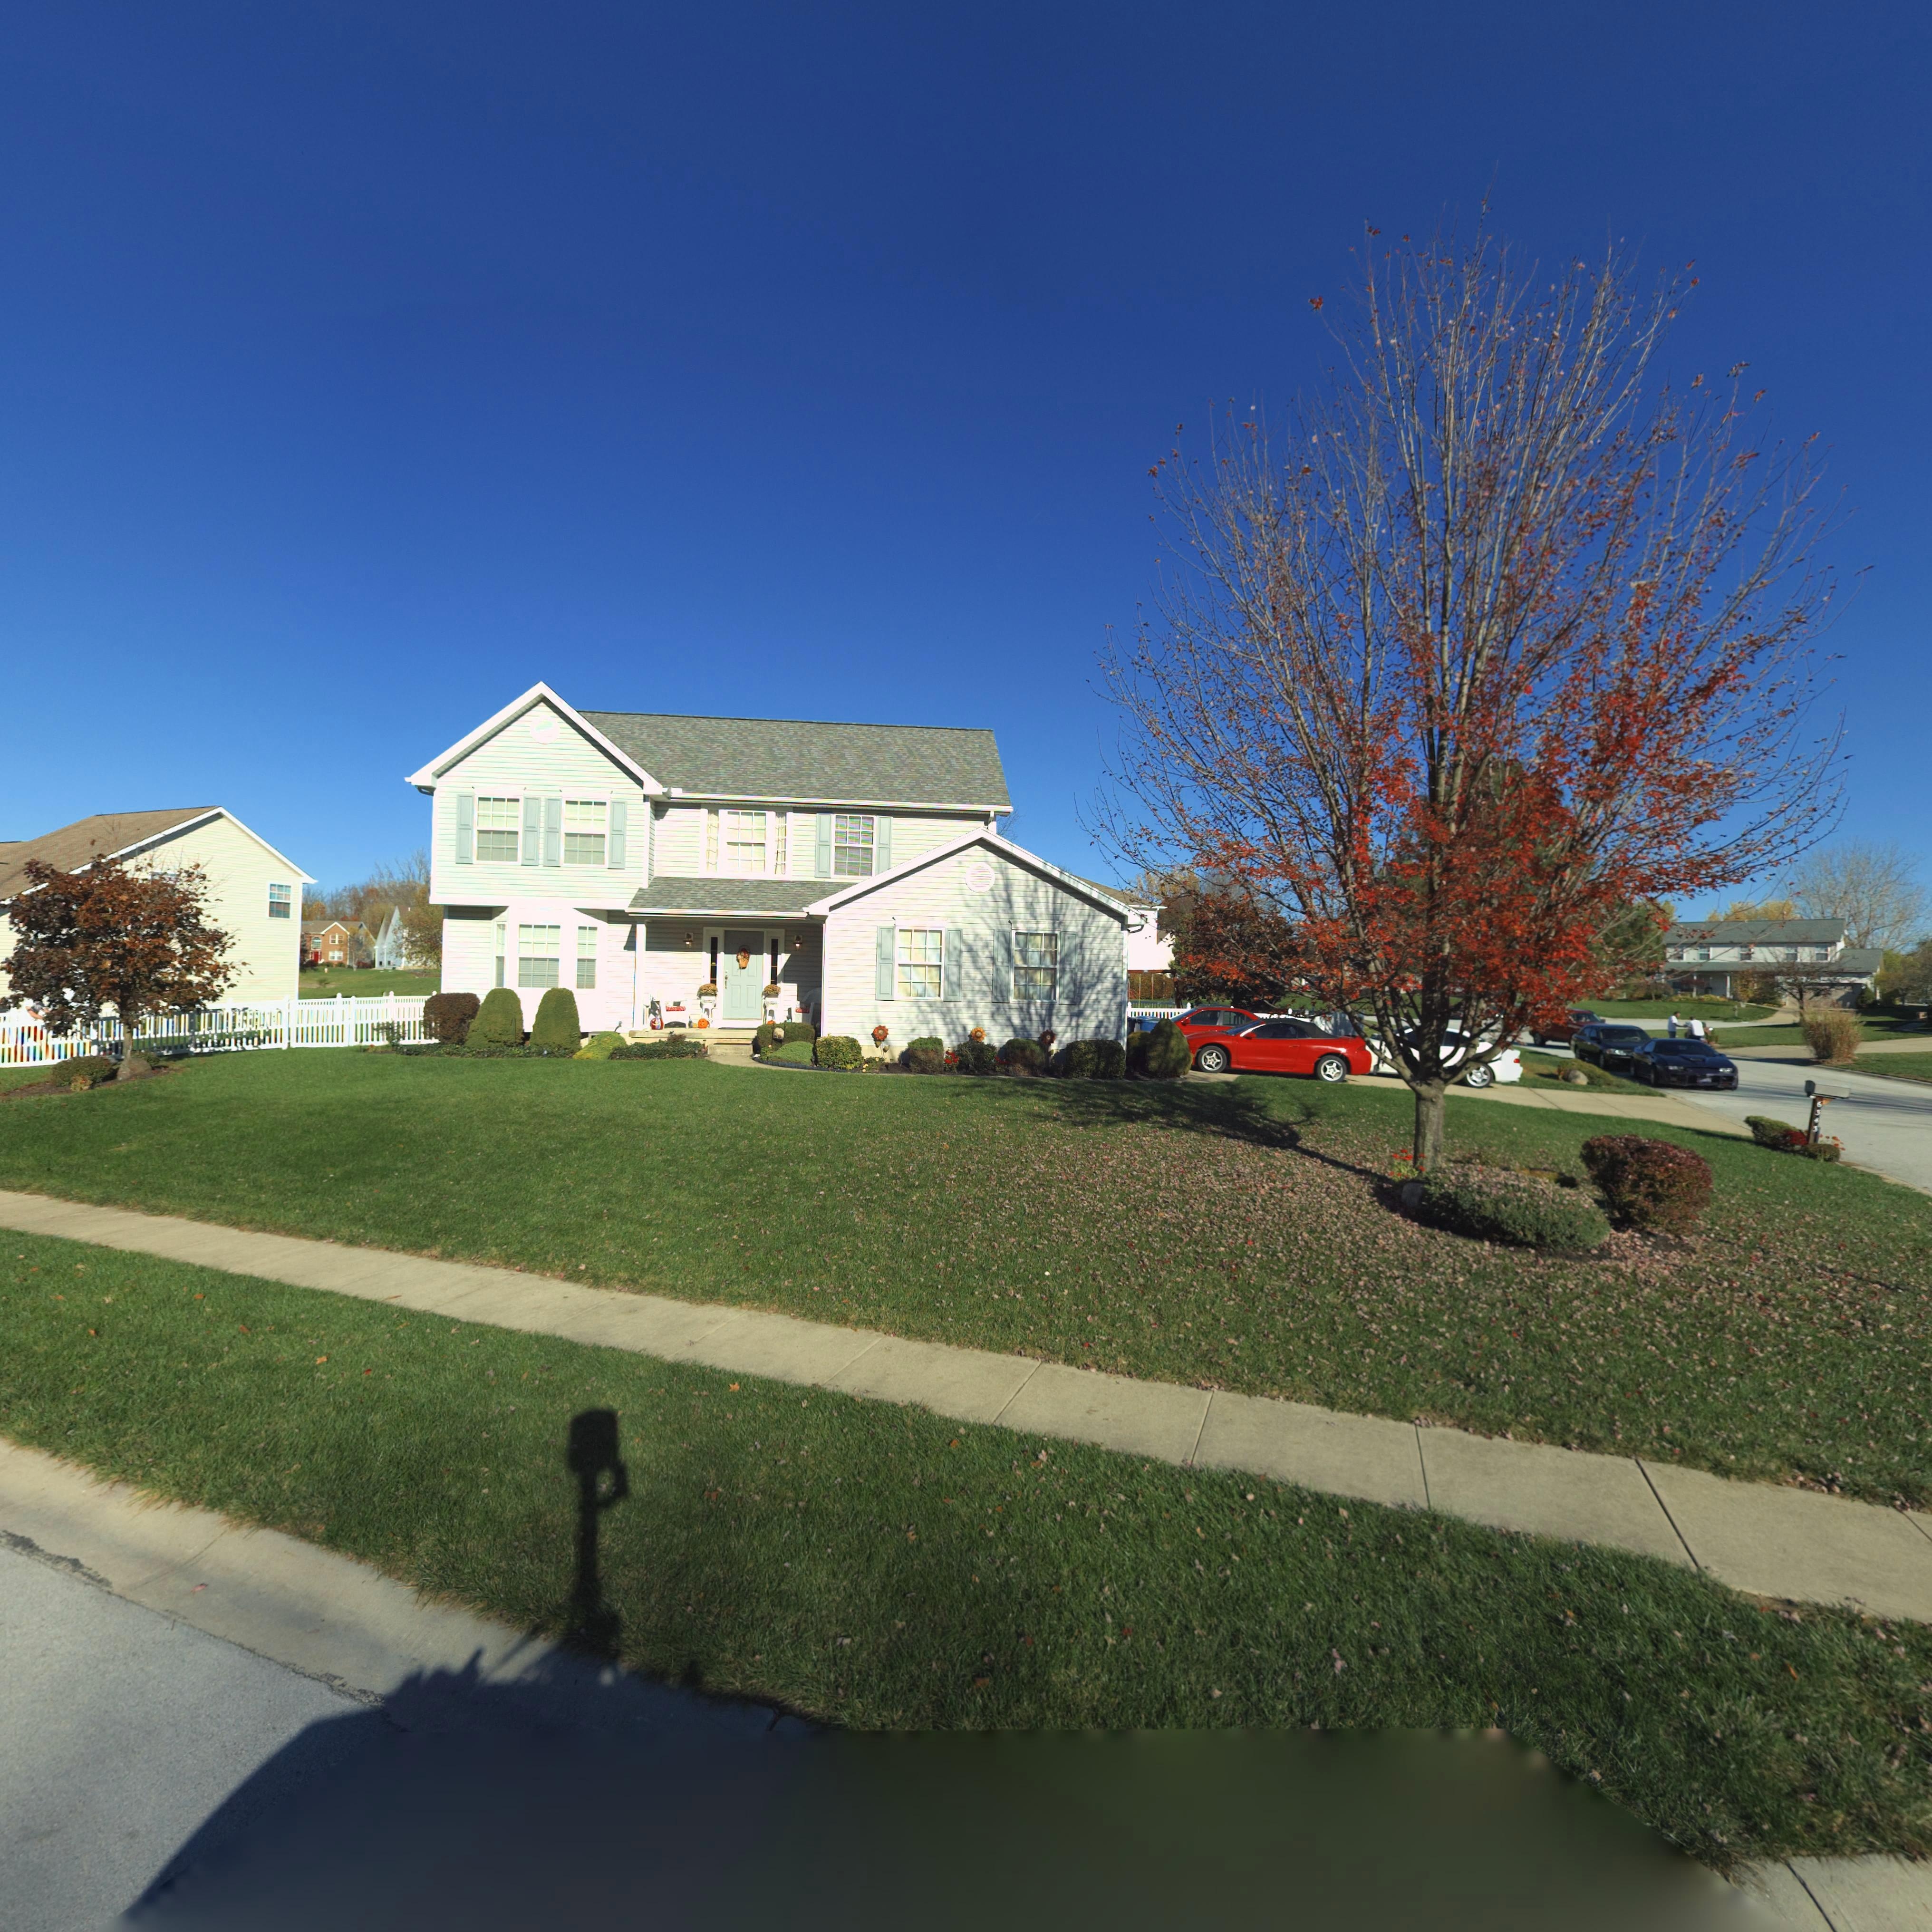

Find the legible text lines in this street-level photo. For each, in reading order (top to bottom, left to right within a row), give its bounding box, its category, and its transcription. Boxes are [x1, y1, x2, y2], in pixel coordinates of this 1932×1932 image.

[1811, 1101, 1823, 1133] StreetNumber: 6343